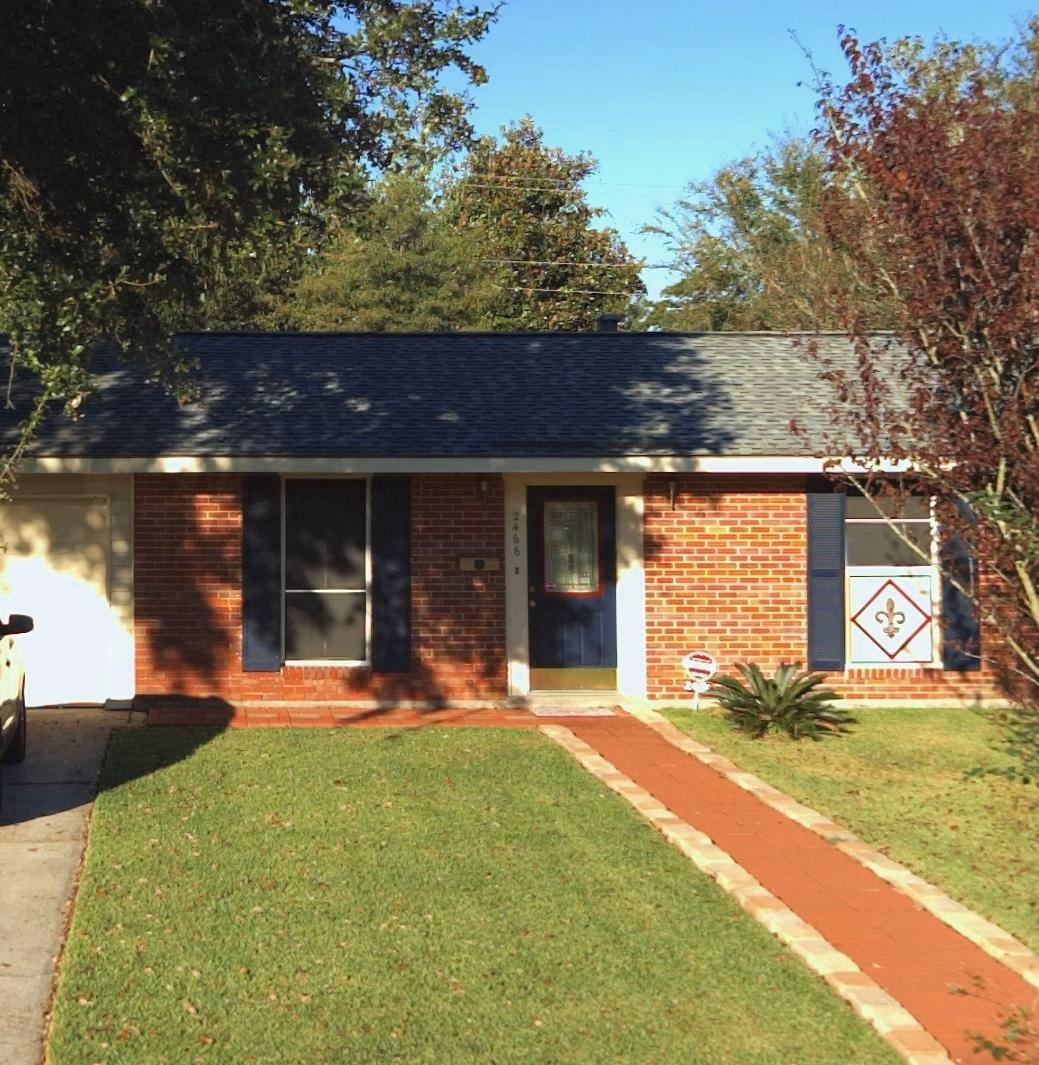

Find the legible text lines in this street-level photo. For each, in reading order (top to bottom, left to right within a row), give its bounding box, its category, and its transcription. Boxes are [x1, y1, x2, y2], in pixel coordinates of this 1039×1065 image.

[510, 510, 523, 558] StreetNumber: 2466
[682, 680, 694, 692] StreetNumber: 2